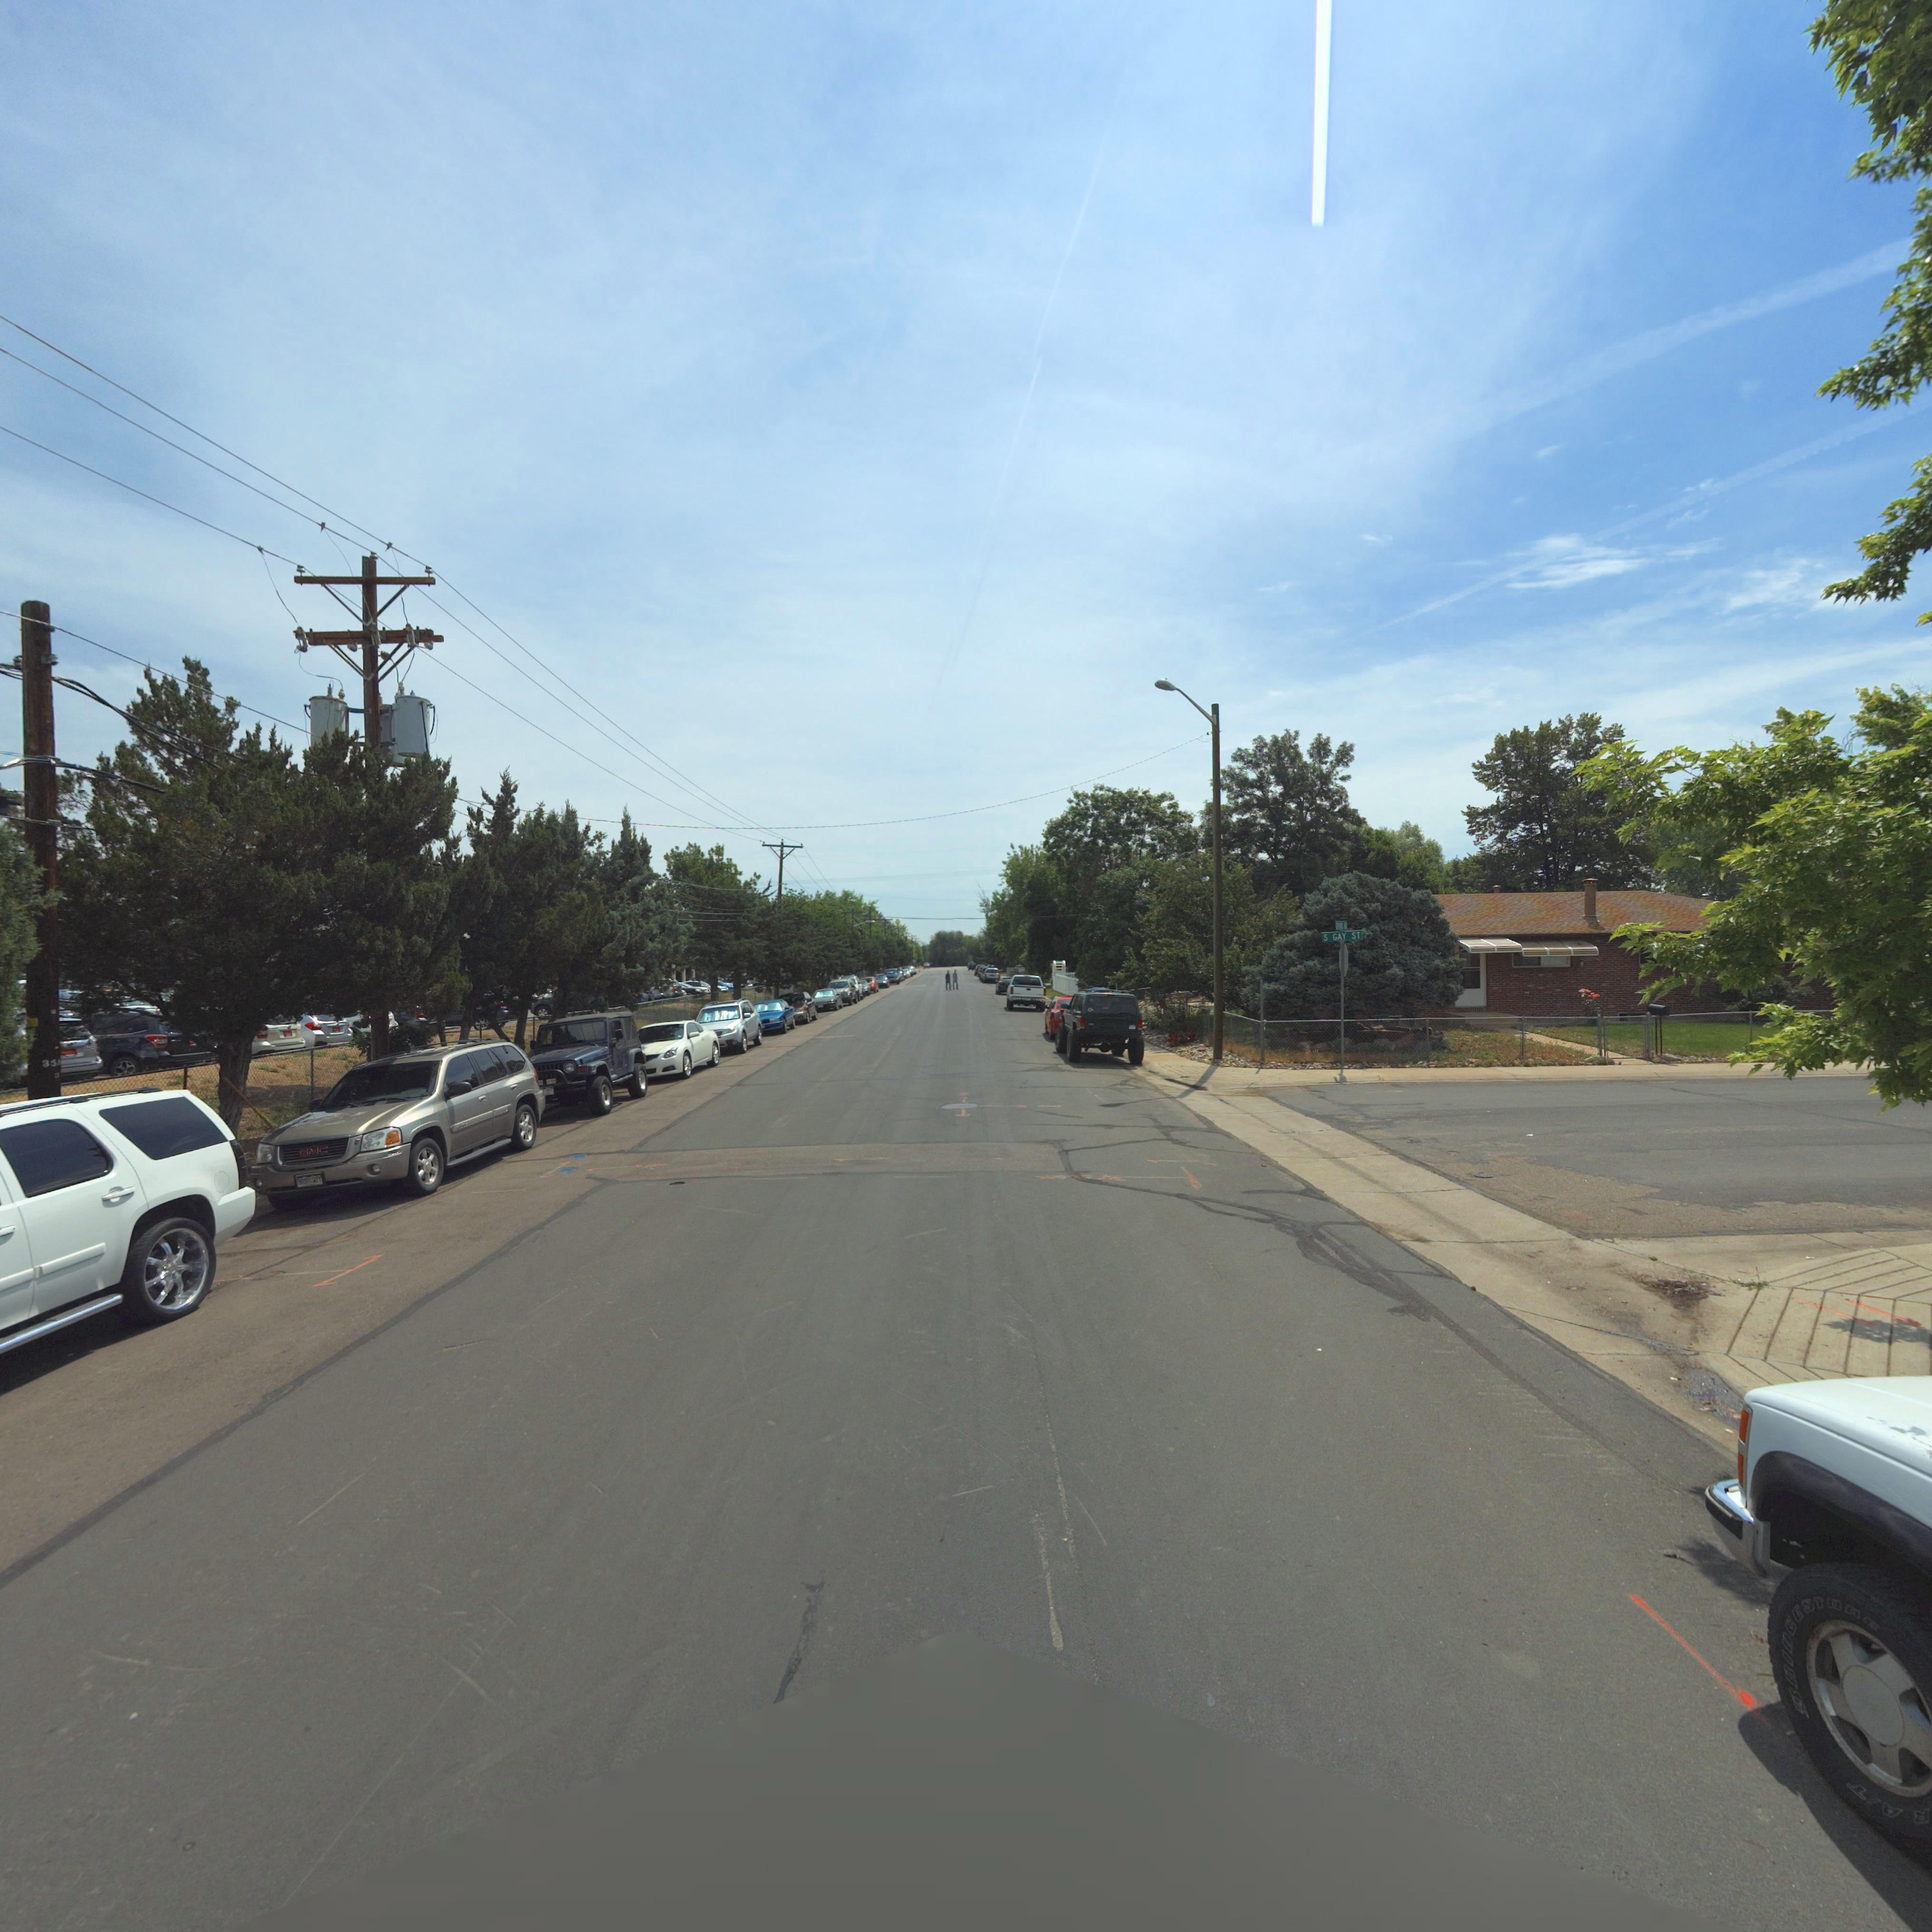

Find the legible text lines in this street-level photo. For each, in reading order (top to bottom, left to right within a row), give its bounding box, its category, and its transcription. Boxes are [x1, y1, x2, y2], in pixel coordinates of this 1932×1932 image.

[1335, 922, 1347, 929] StreetName: *****O **
[1323, 931, 1360, 941] StreetName: S GAY ST